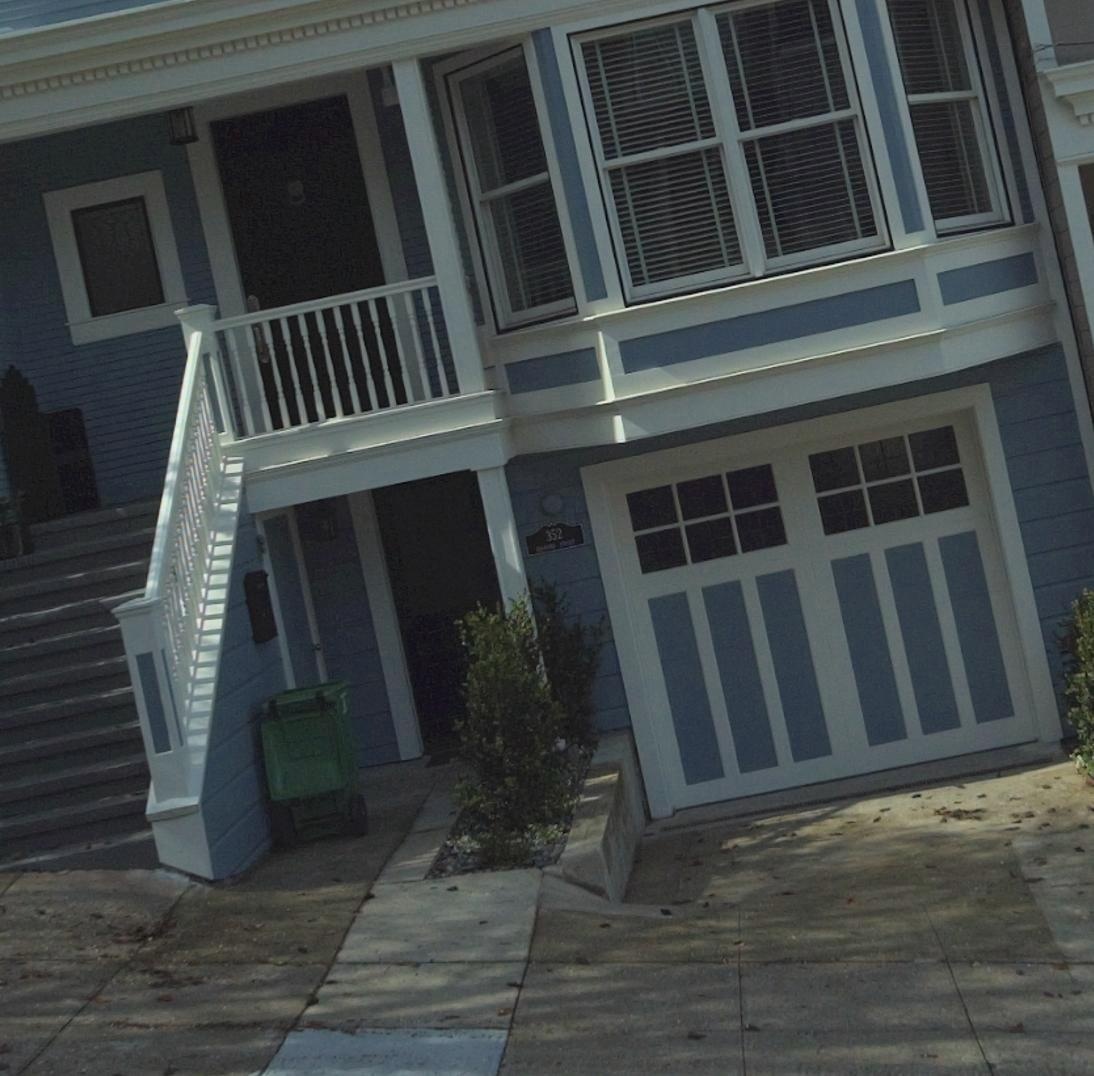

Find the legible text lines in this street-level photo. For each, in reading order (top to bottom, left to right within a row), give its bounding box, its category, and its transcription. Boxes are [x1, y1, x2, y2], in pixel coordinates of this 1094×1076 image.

[543, 526, 566, 544] StreetNumber: 352